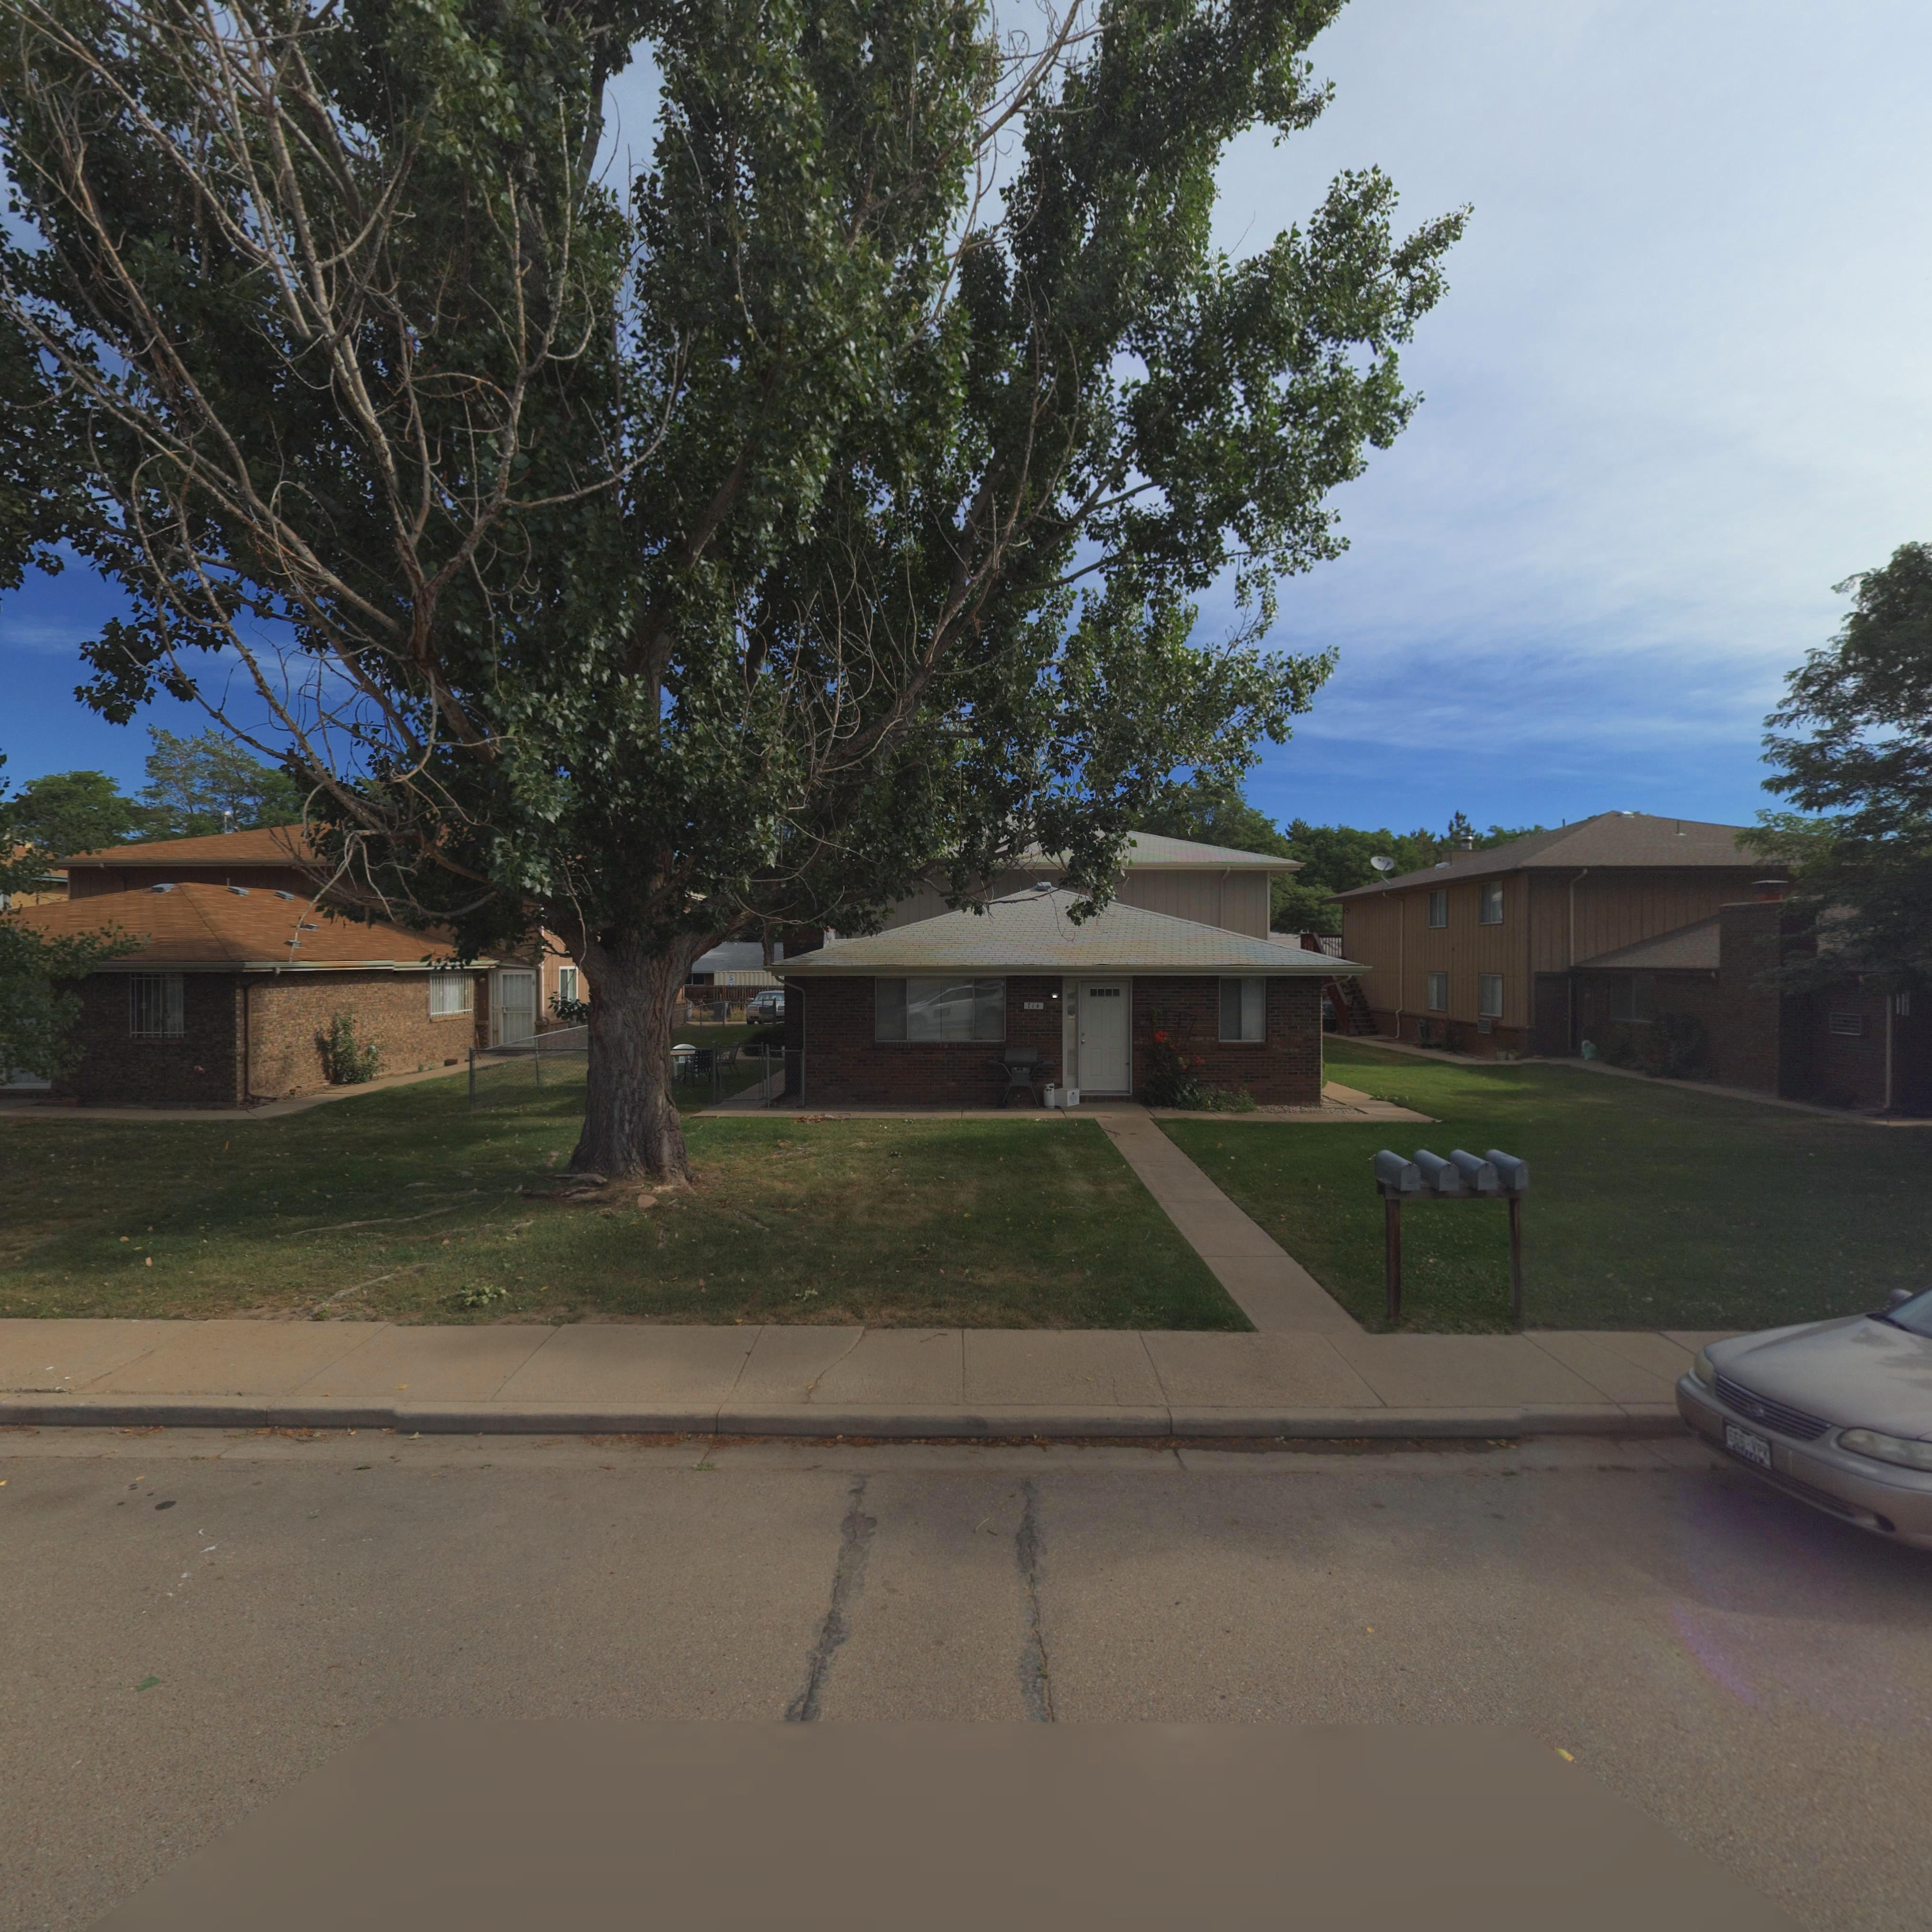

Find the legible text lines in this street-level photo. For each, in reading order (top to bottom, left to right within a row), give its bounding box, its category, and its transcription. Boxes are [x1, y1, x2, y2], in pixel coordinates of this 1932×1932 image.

[1027, 1003, 1039, 1008] StreetNumber: 714